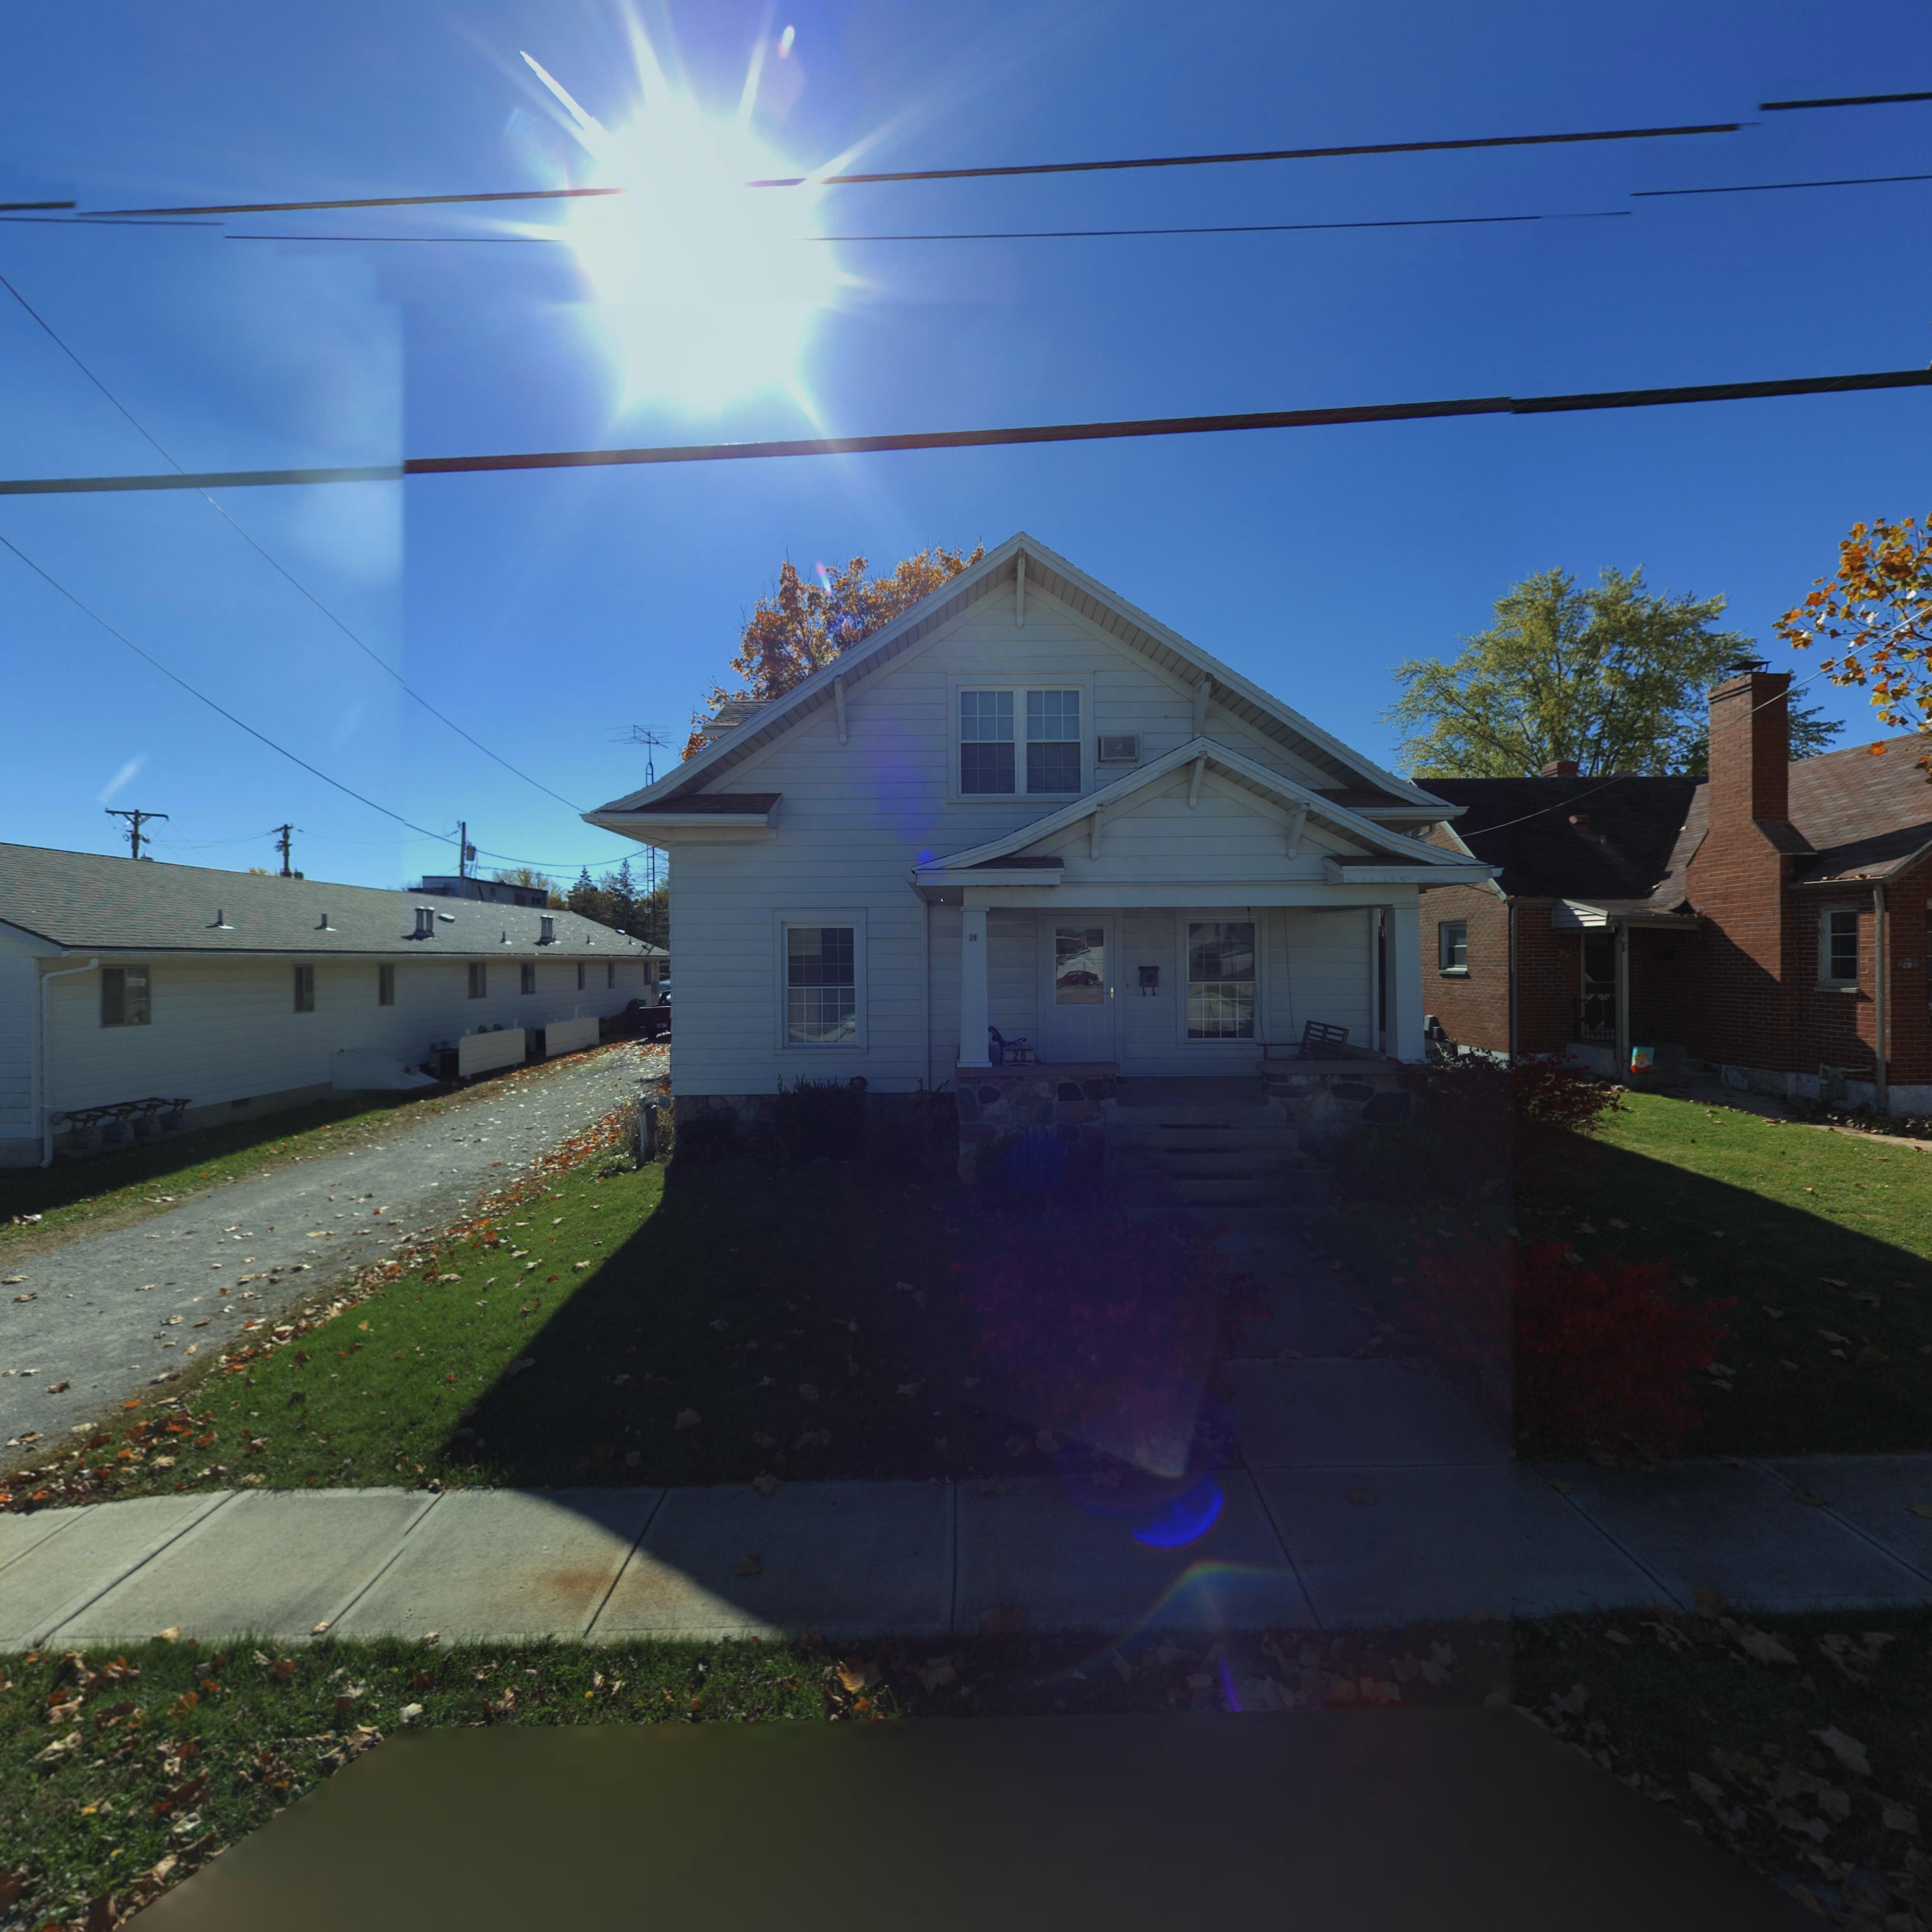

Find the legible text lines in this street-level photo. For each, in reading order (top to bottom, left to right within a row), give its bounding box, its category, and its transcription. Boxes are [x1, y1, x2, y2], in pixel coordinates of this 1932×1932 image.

[969, 935, 977, 940] StreetNumber: 26
[1903, 962, 1912, 969] StreetNumber: 2*